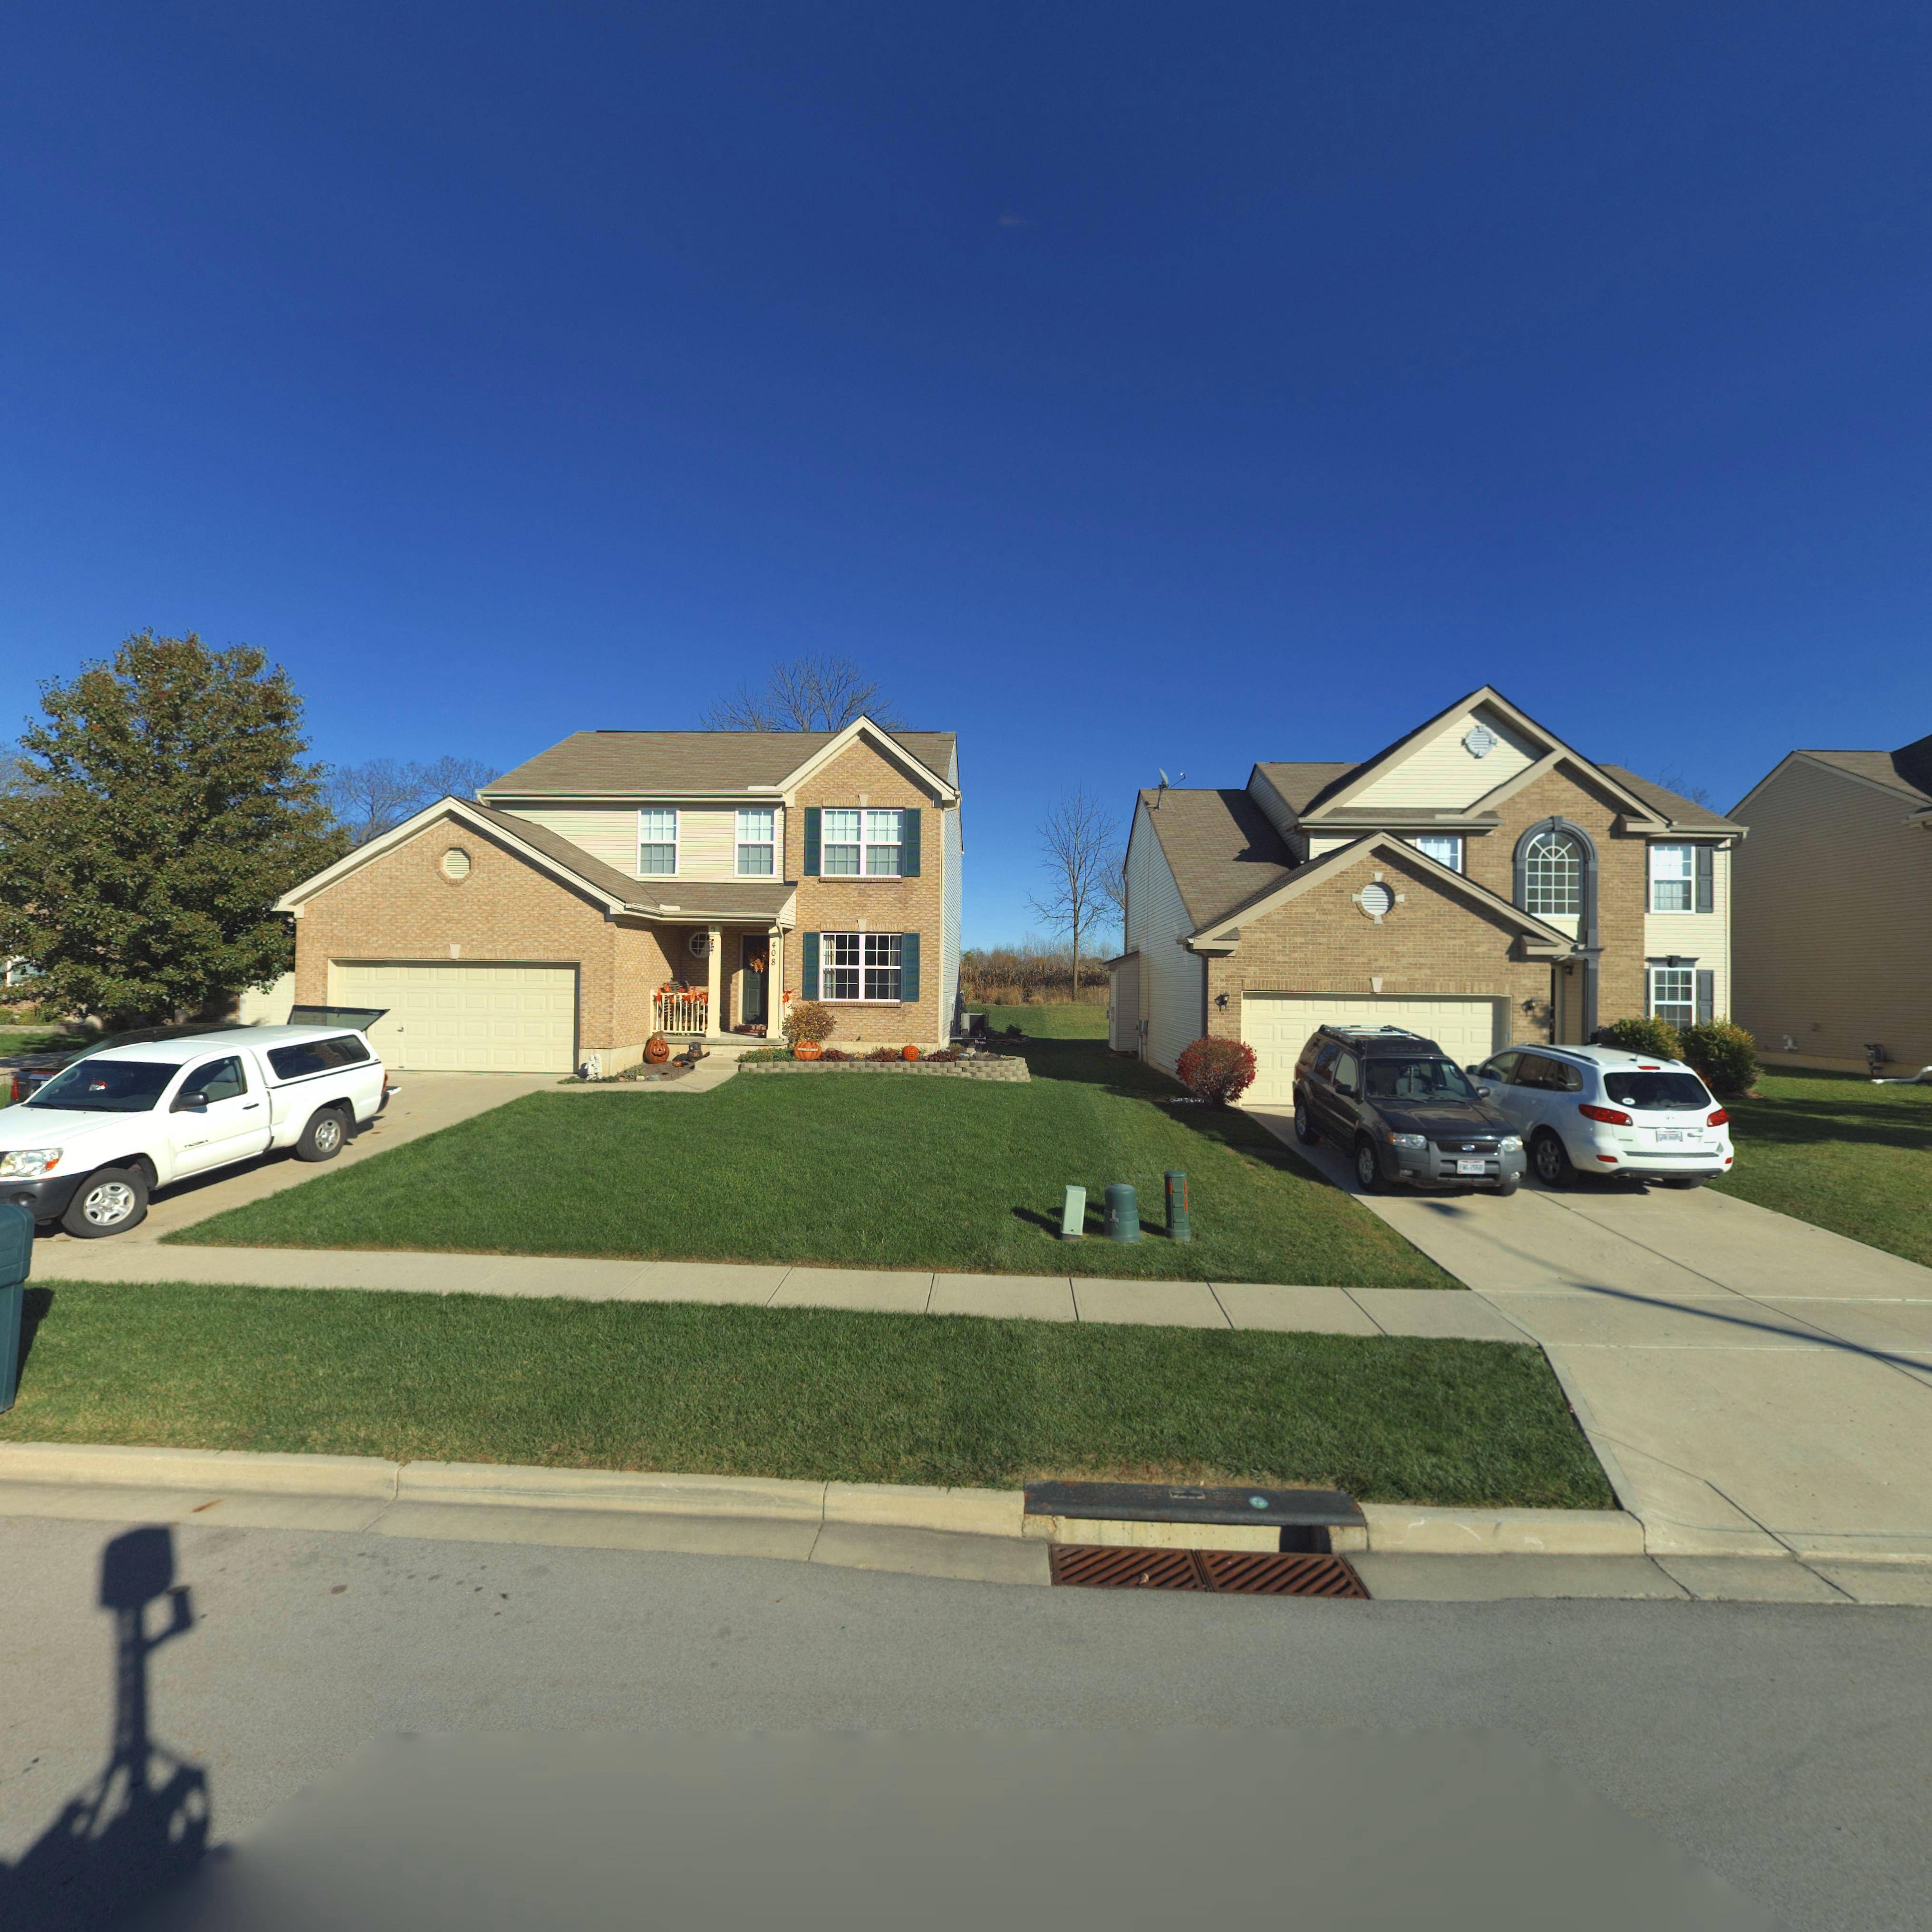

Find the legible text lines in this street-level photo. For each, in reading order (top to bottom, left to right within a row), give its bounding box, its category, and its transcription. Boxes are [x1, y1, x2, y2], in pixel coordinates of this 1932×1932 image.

[770, 940, 776, 966] StreetNumber: 408